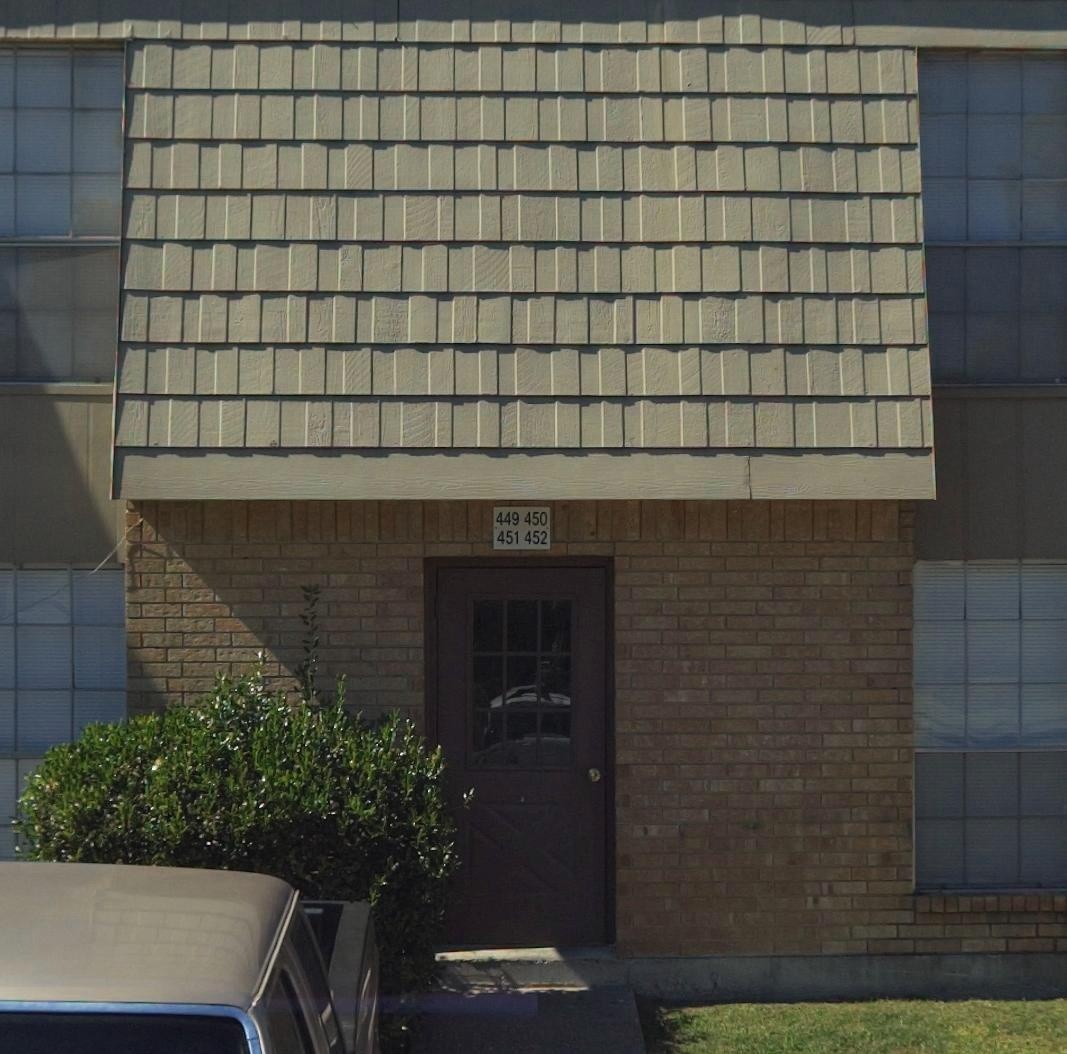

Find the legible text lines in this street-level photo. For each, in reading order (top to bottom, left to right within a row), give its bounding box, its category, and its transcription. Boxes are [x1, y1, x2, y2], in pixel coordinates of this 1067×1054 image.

[494, 509, 522, 528] StreetNumber: 449
[522, 509, 549, 528] StreetNumber: 450
[494, 528, 522, 547] StreetNumber: 451
[522, 528, 549, 547] StreetNumber: 452